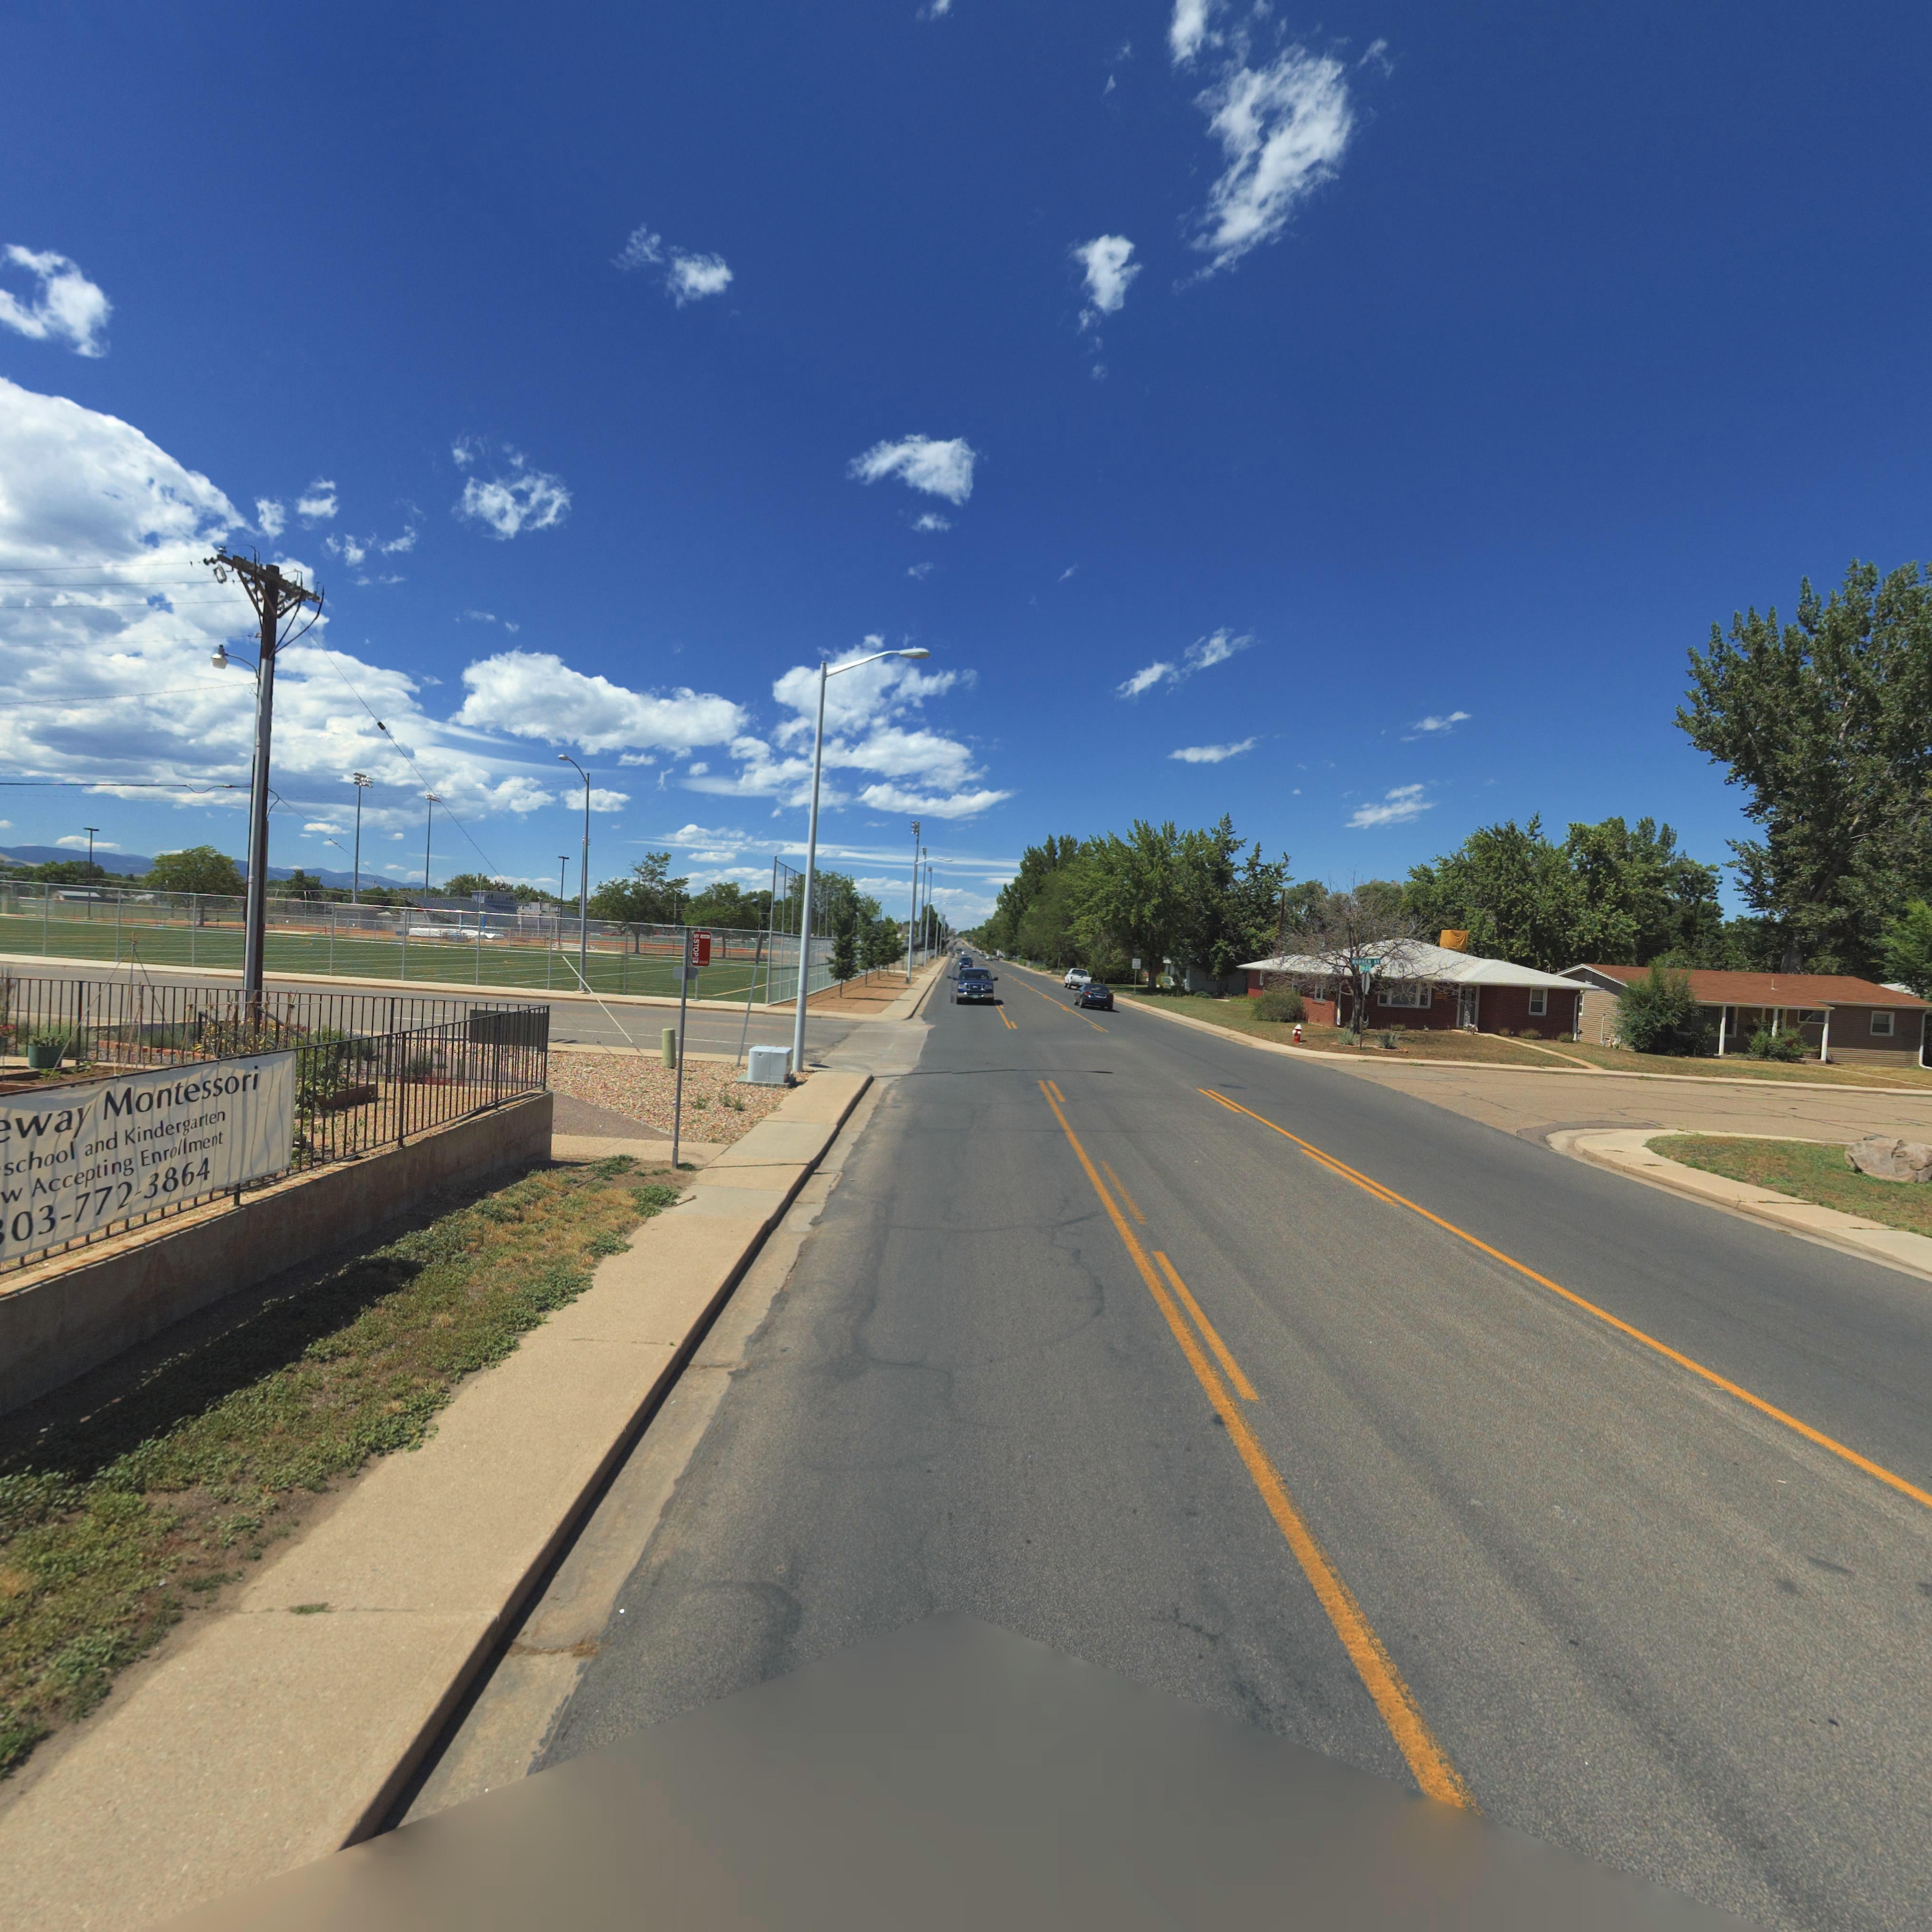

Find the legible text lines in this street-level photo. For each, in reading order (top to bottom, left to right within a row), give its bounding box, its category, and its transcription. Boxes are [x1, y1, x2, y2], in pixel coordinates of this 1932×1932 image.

[1351, 959, 1379, 964] StreetName: *ARREN AV
[14, 1063, 260, 1139] BusinessName: way Montessori
[2, 1111, 226, 1177] BusinessName: school and Kindergarten